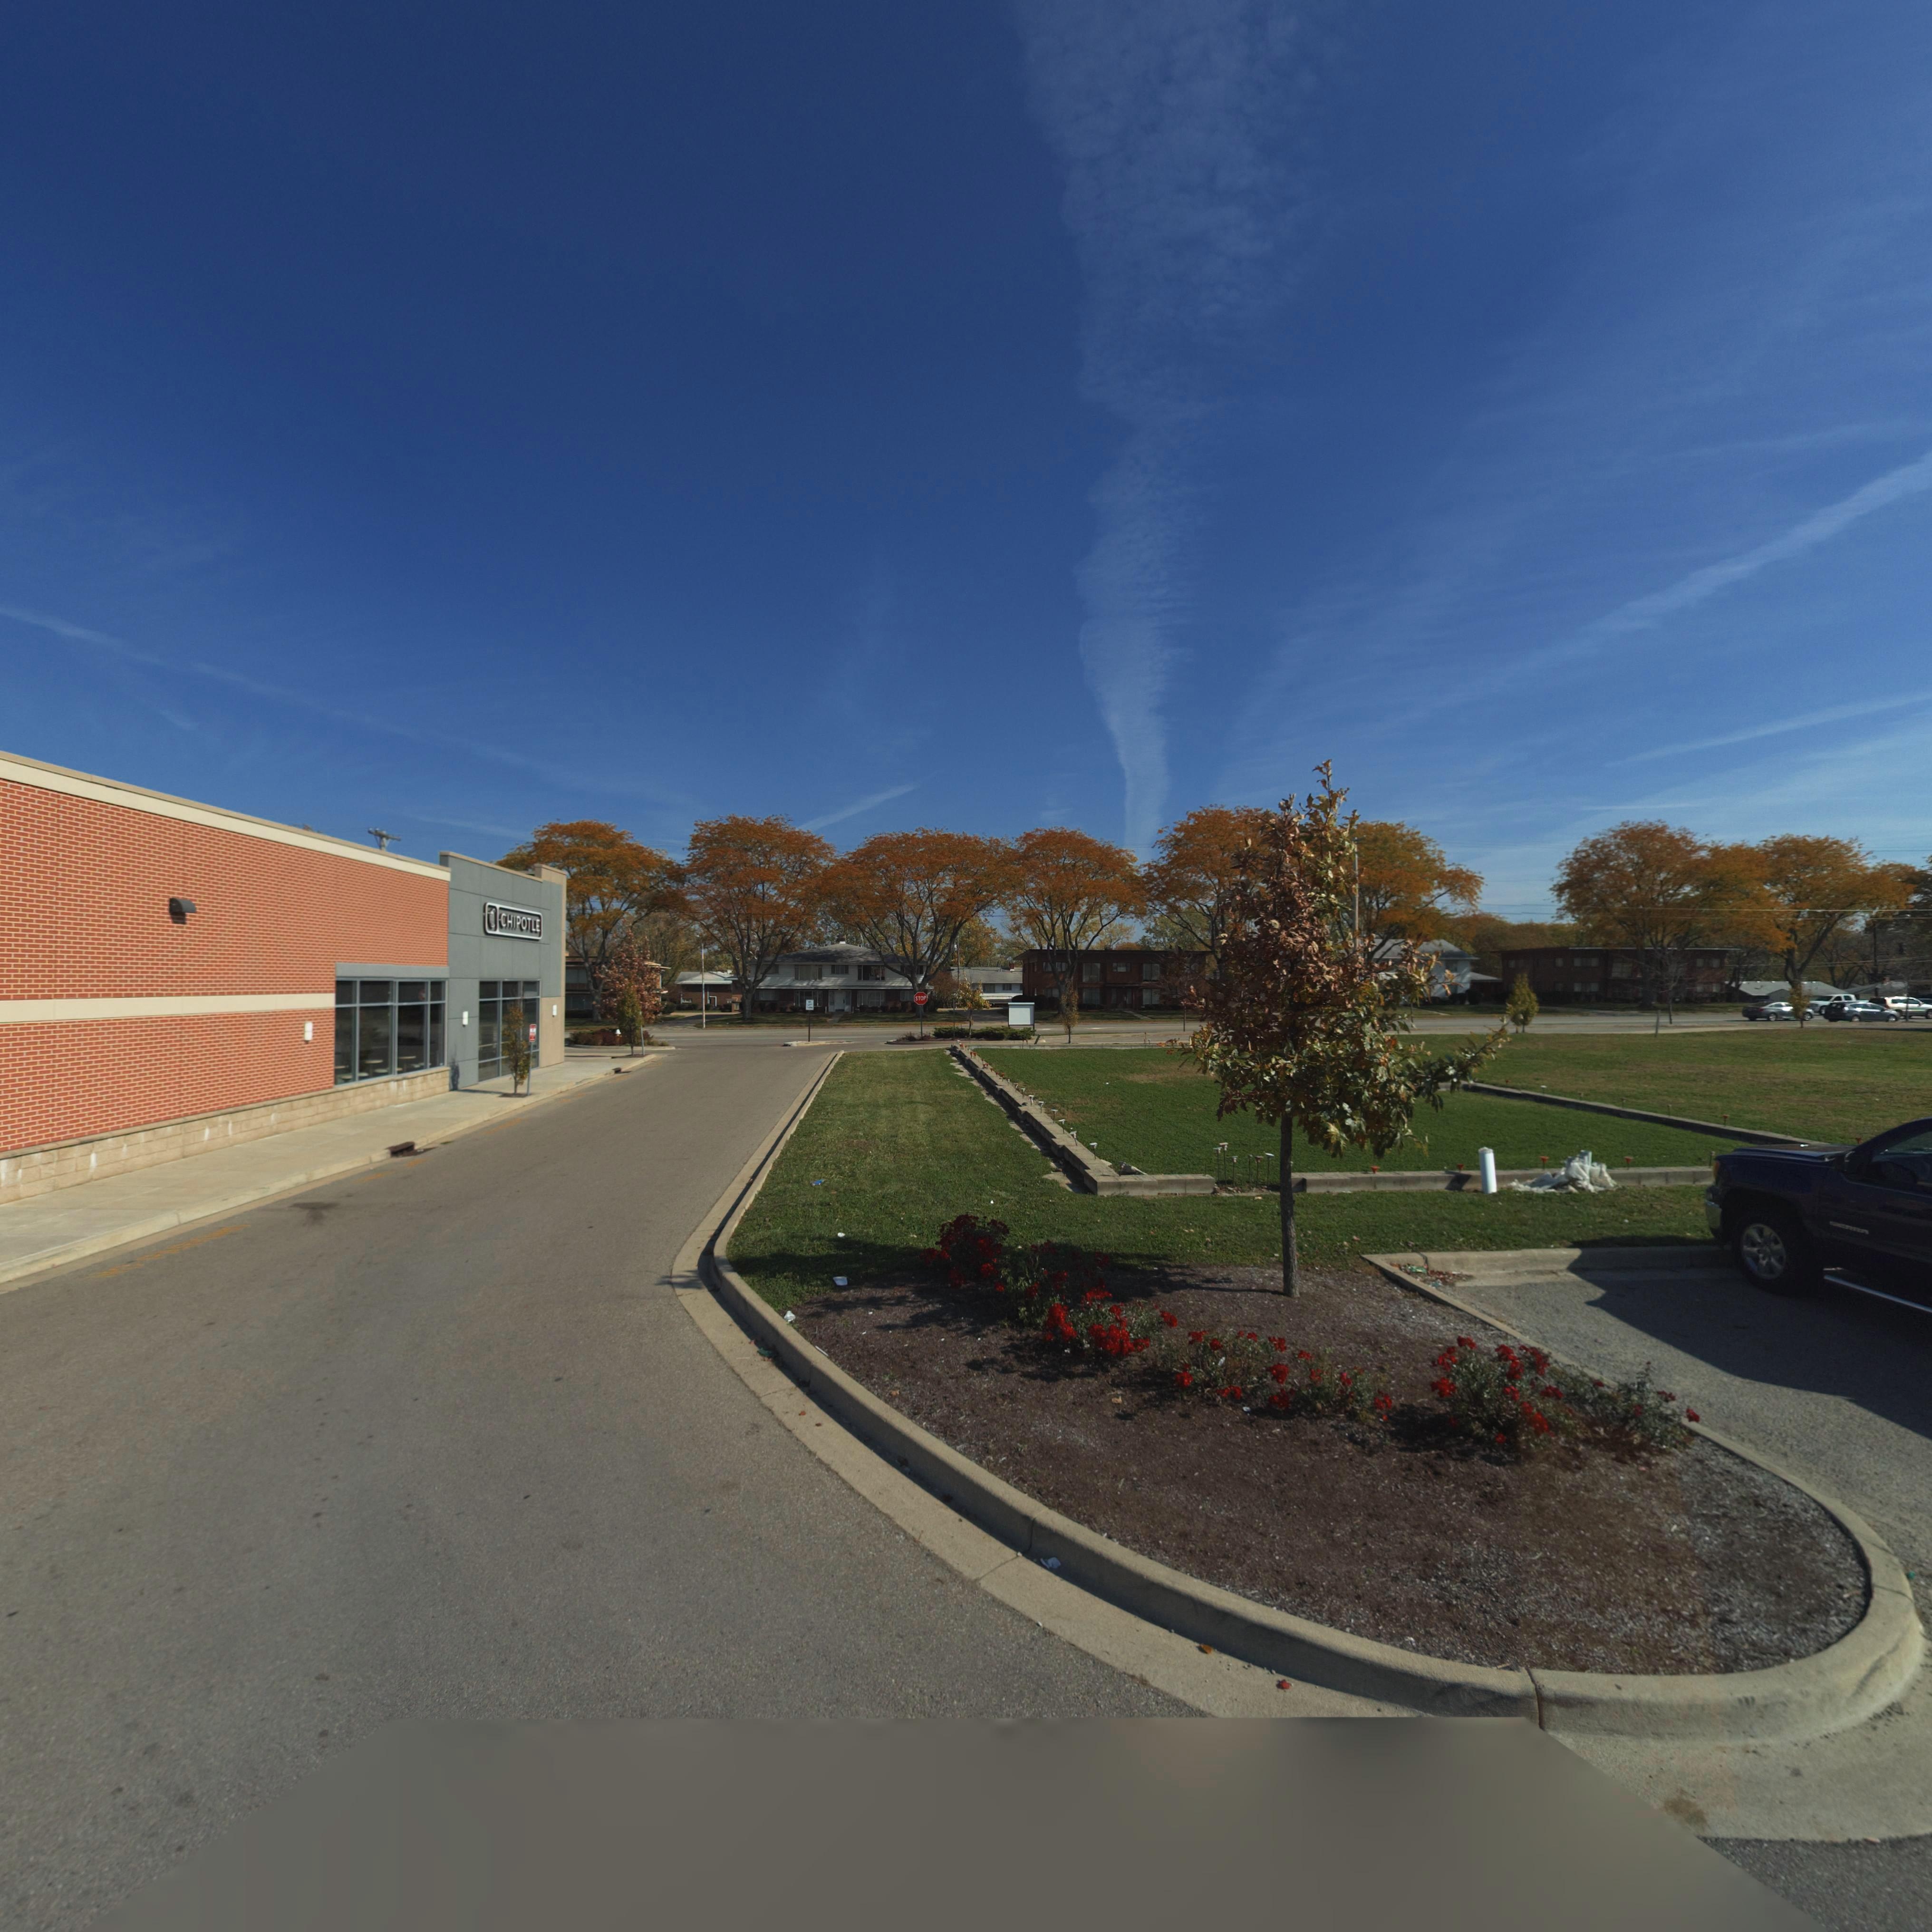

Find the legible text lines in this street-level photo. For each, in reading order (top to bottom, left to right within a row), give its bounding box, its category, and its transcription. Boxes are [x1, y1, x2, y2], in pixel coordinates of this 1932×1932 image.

[499, 911, 541, 933] BusinessName: CHIPOTLE